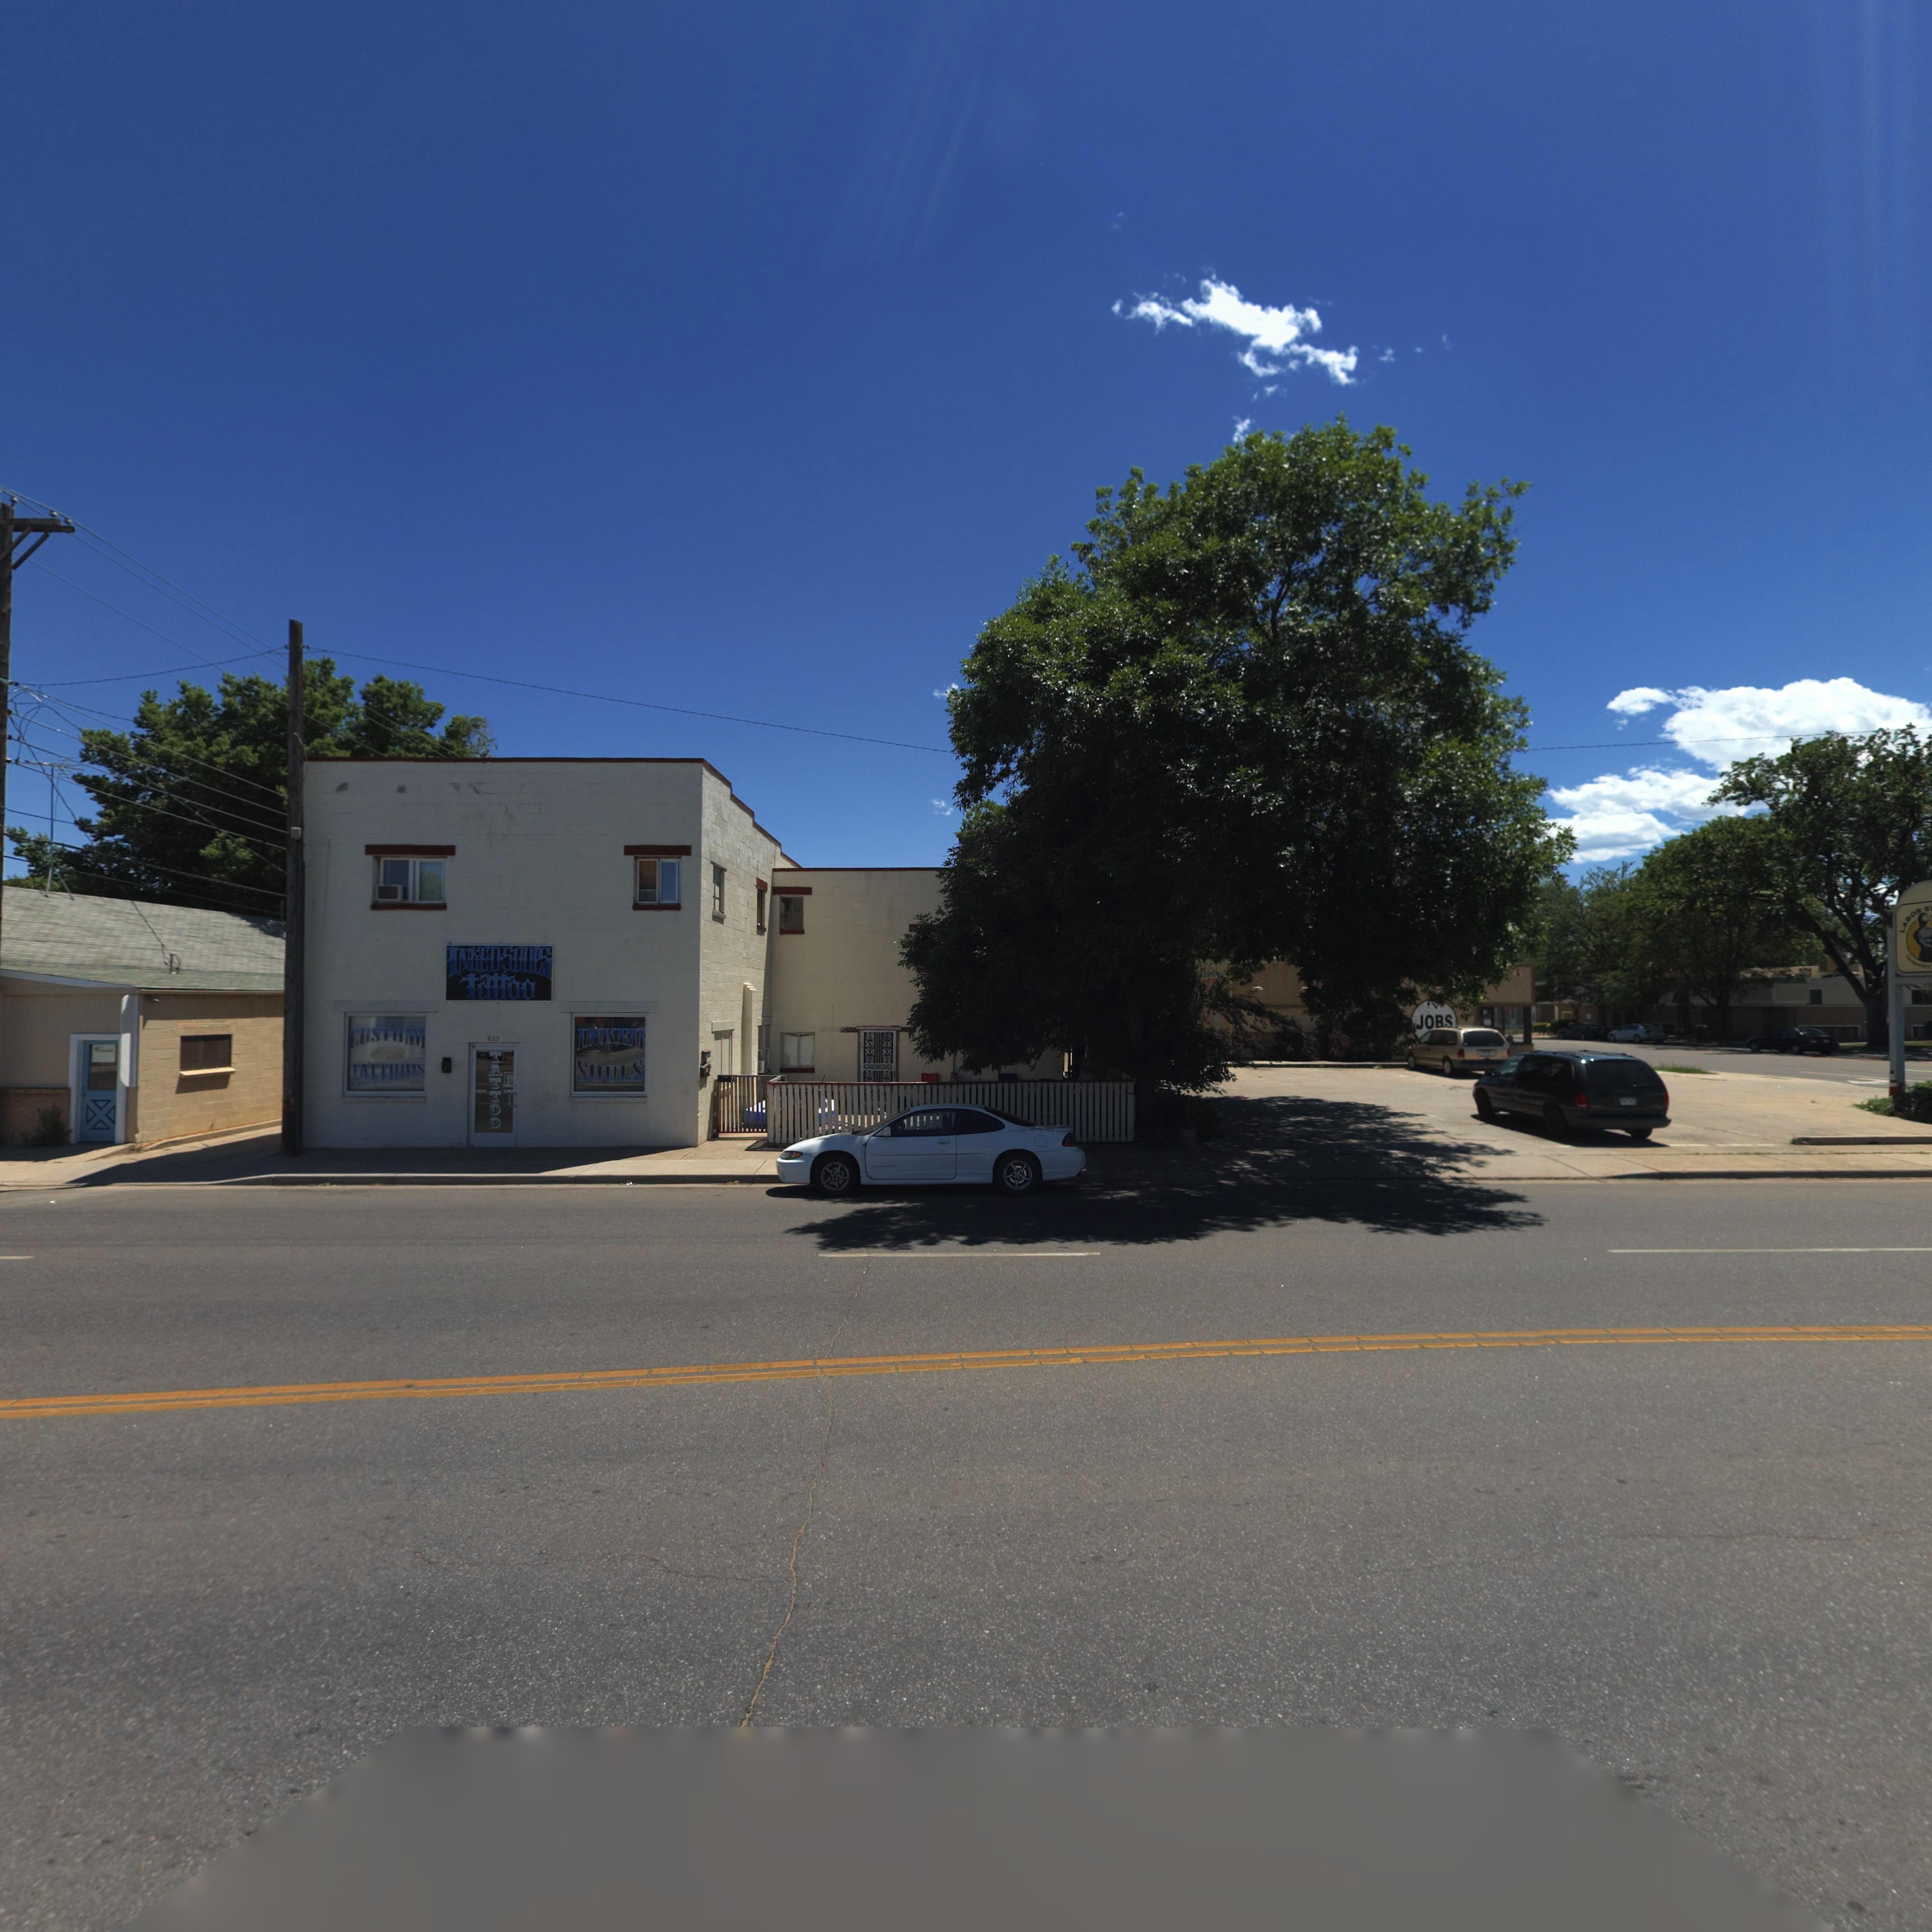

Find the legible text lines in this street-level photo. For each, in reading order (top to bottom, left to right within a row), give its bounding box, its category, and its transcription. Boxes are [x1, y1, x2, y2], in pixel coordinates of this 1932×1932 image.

[1899, 905, 1930, 933] BusinessName: LABOR S
[447, 945, 553, 981] BusinessName: INKEDSOULS
[459, 972, 536, 1000] BusinessName: tattoo
[486, 1035, 500, 1042] StreetNumber: 625
[577, 1027, 644, 1051] BusinessName: INKED
[576, 1057, 644, 1082] BusinessName: SOULS